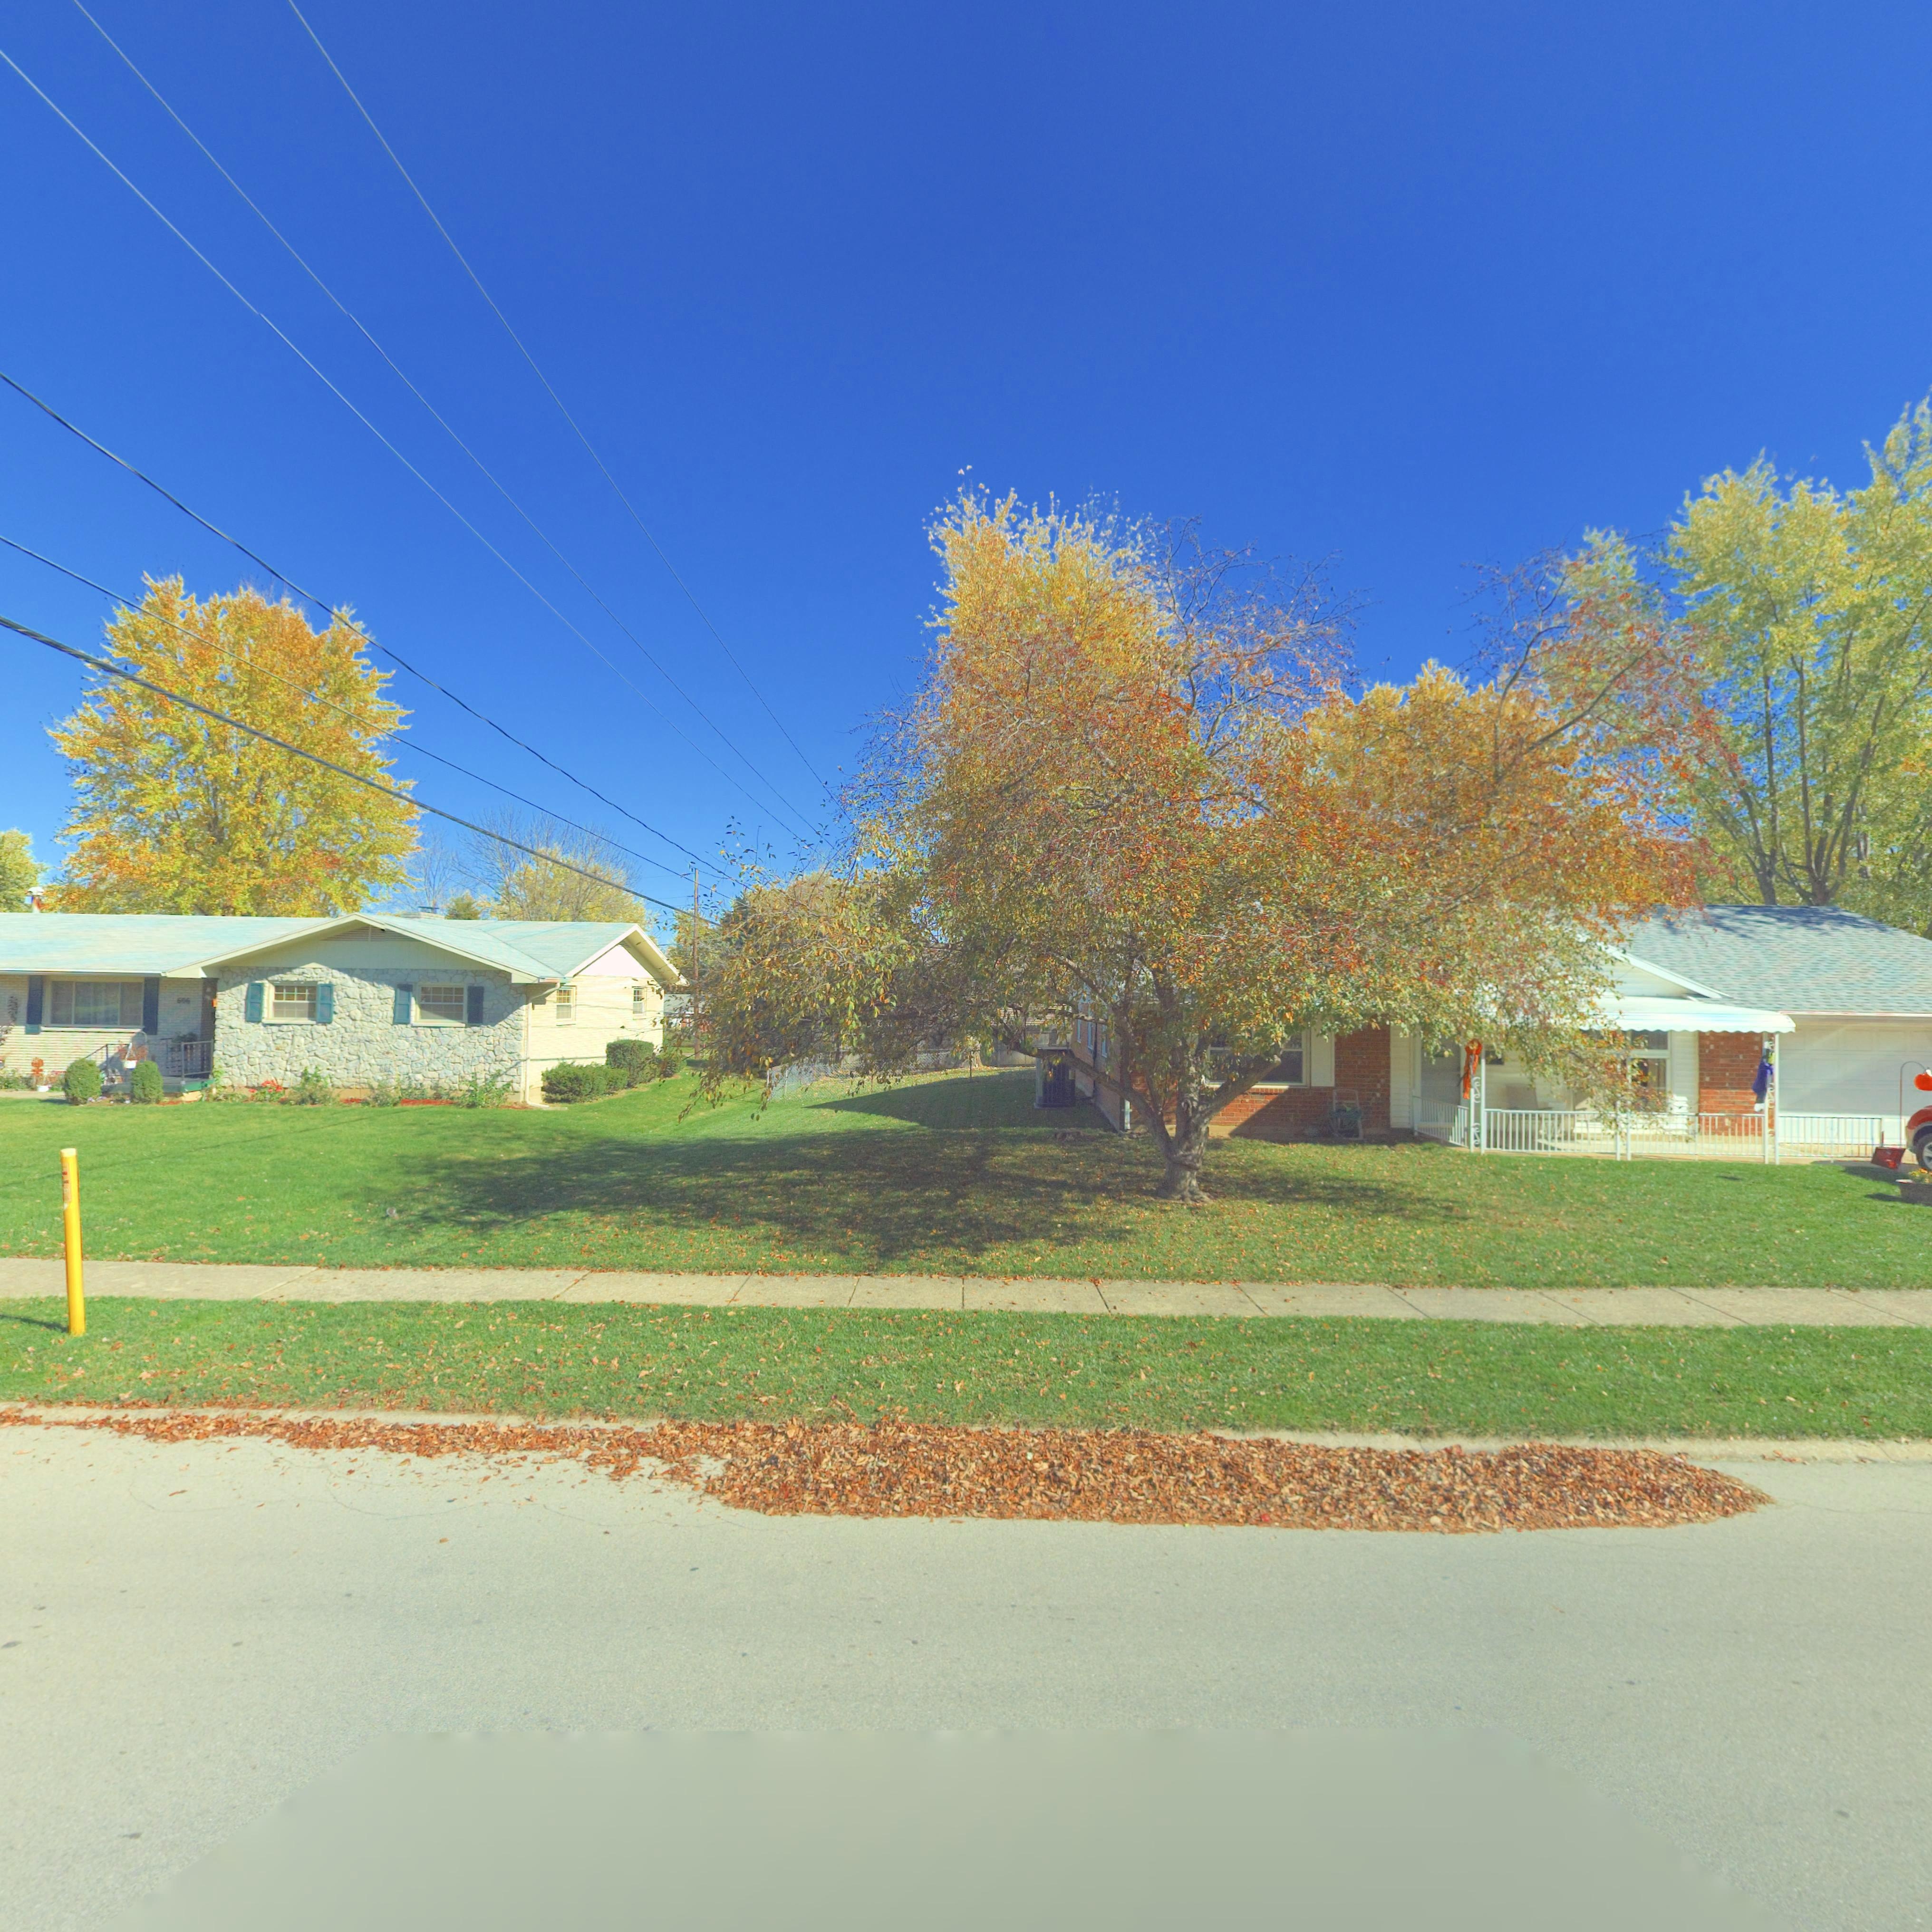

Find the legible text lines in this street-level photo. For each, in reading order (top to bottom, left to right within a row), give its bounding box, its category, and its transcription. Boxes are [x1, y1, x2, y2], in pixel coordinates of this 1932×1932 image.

[176, 997, 191, 1004] StreetNumber: 606